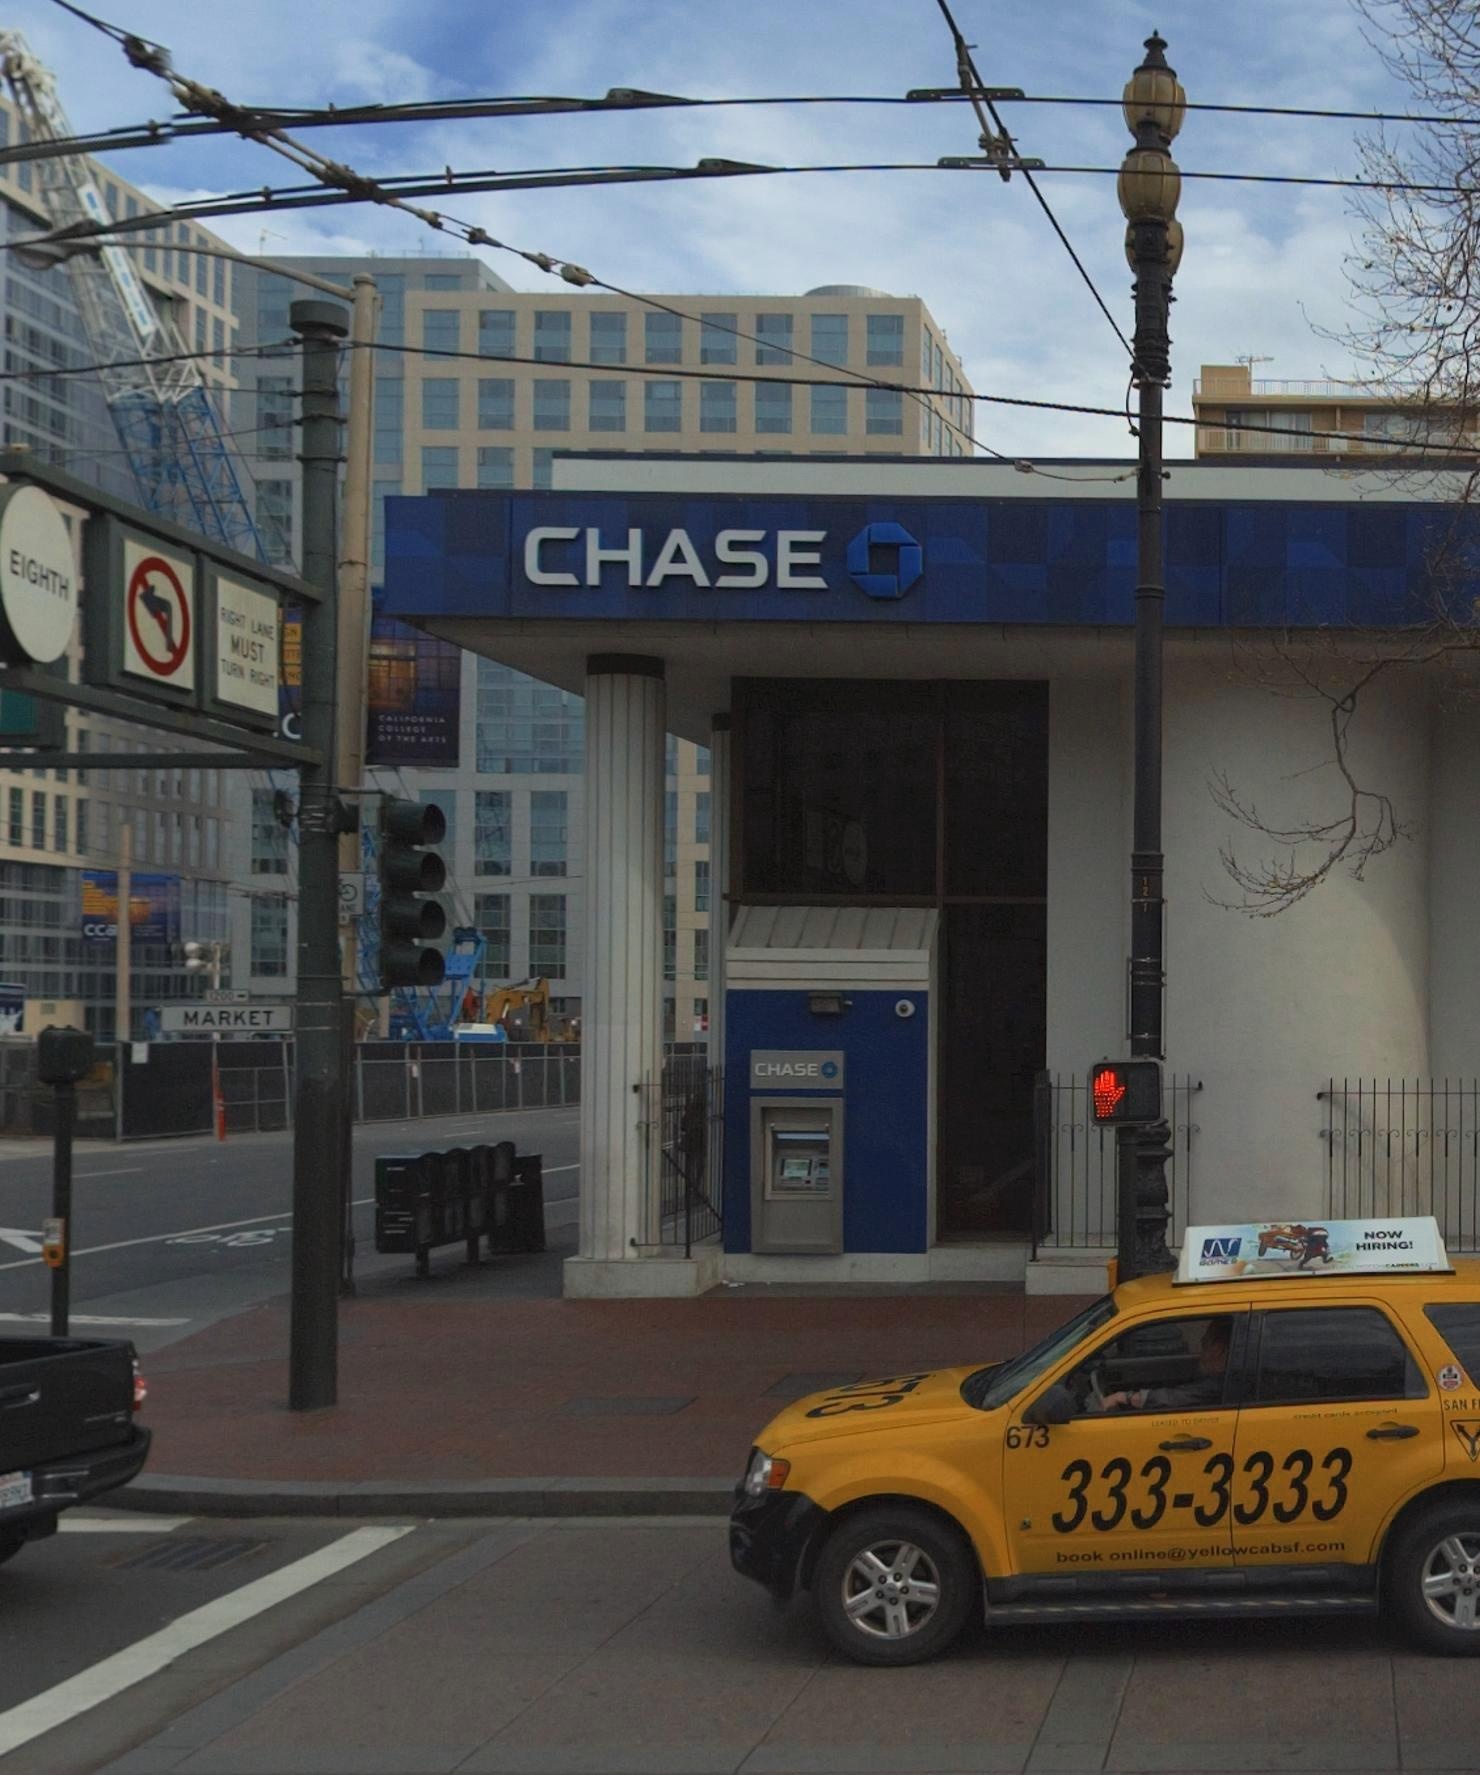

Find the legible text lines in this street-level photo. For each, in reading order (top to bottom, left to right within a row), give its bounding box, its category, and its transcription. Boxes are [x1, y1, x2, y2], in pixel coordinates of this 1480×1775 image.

[4, 540, 75, 608] StreetName: EIGHTH
[520, 523, 832, 593] BusinessName: CHASE
[217, 601, 278, 644] None: RIGHT LANE
[228, 630, 268, 668] None: MUST
[217, 653, 278, 695] None: TURN RIGHT
[80, 920, 120, 940] None: cca
[206, 988, 249, 1003] StreetNumberRange: 1200->
[180, 1007, 277, 1029] StreetName: MARKET
[752, 1061, 820, 1080] BusinessName: CHASE
[1361, 1227, 1405, 1243] None: NOW
[1354, 1237, 1417, 1254] None: HIRING!
[798, 1380, 922, 1422] None: 73
[1441, 1396, 1479, 1414] None: SAN F
[1003, 1421, 1053, 1453] None: 673
[1043, 1441, 1357, 1539] None: 333-3333
[1053, 1537, 1350, 1567] None: book online @yellowcabsf.com